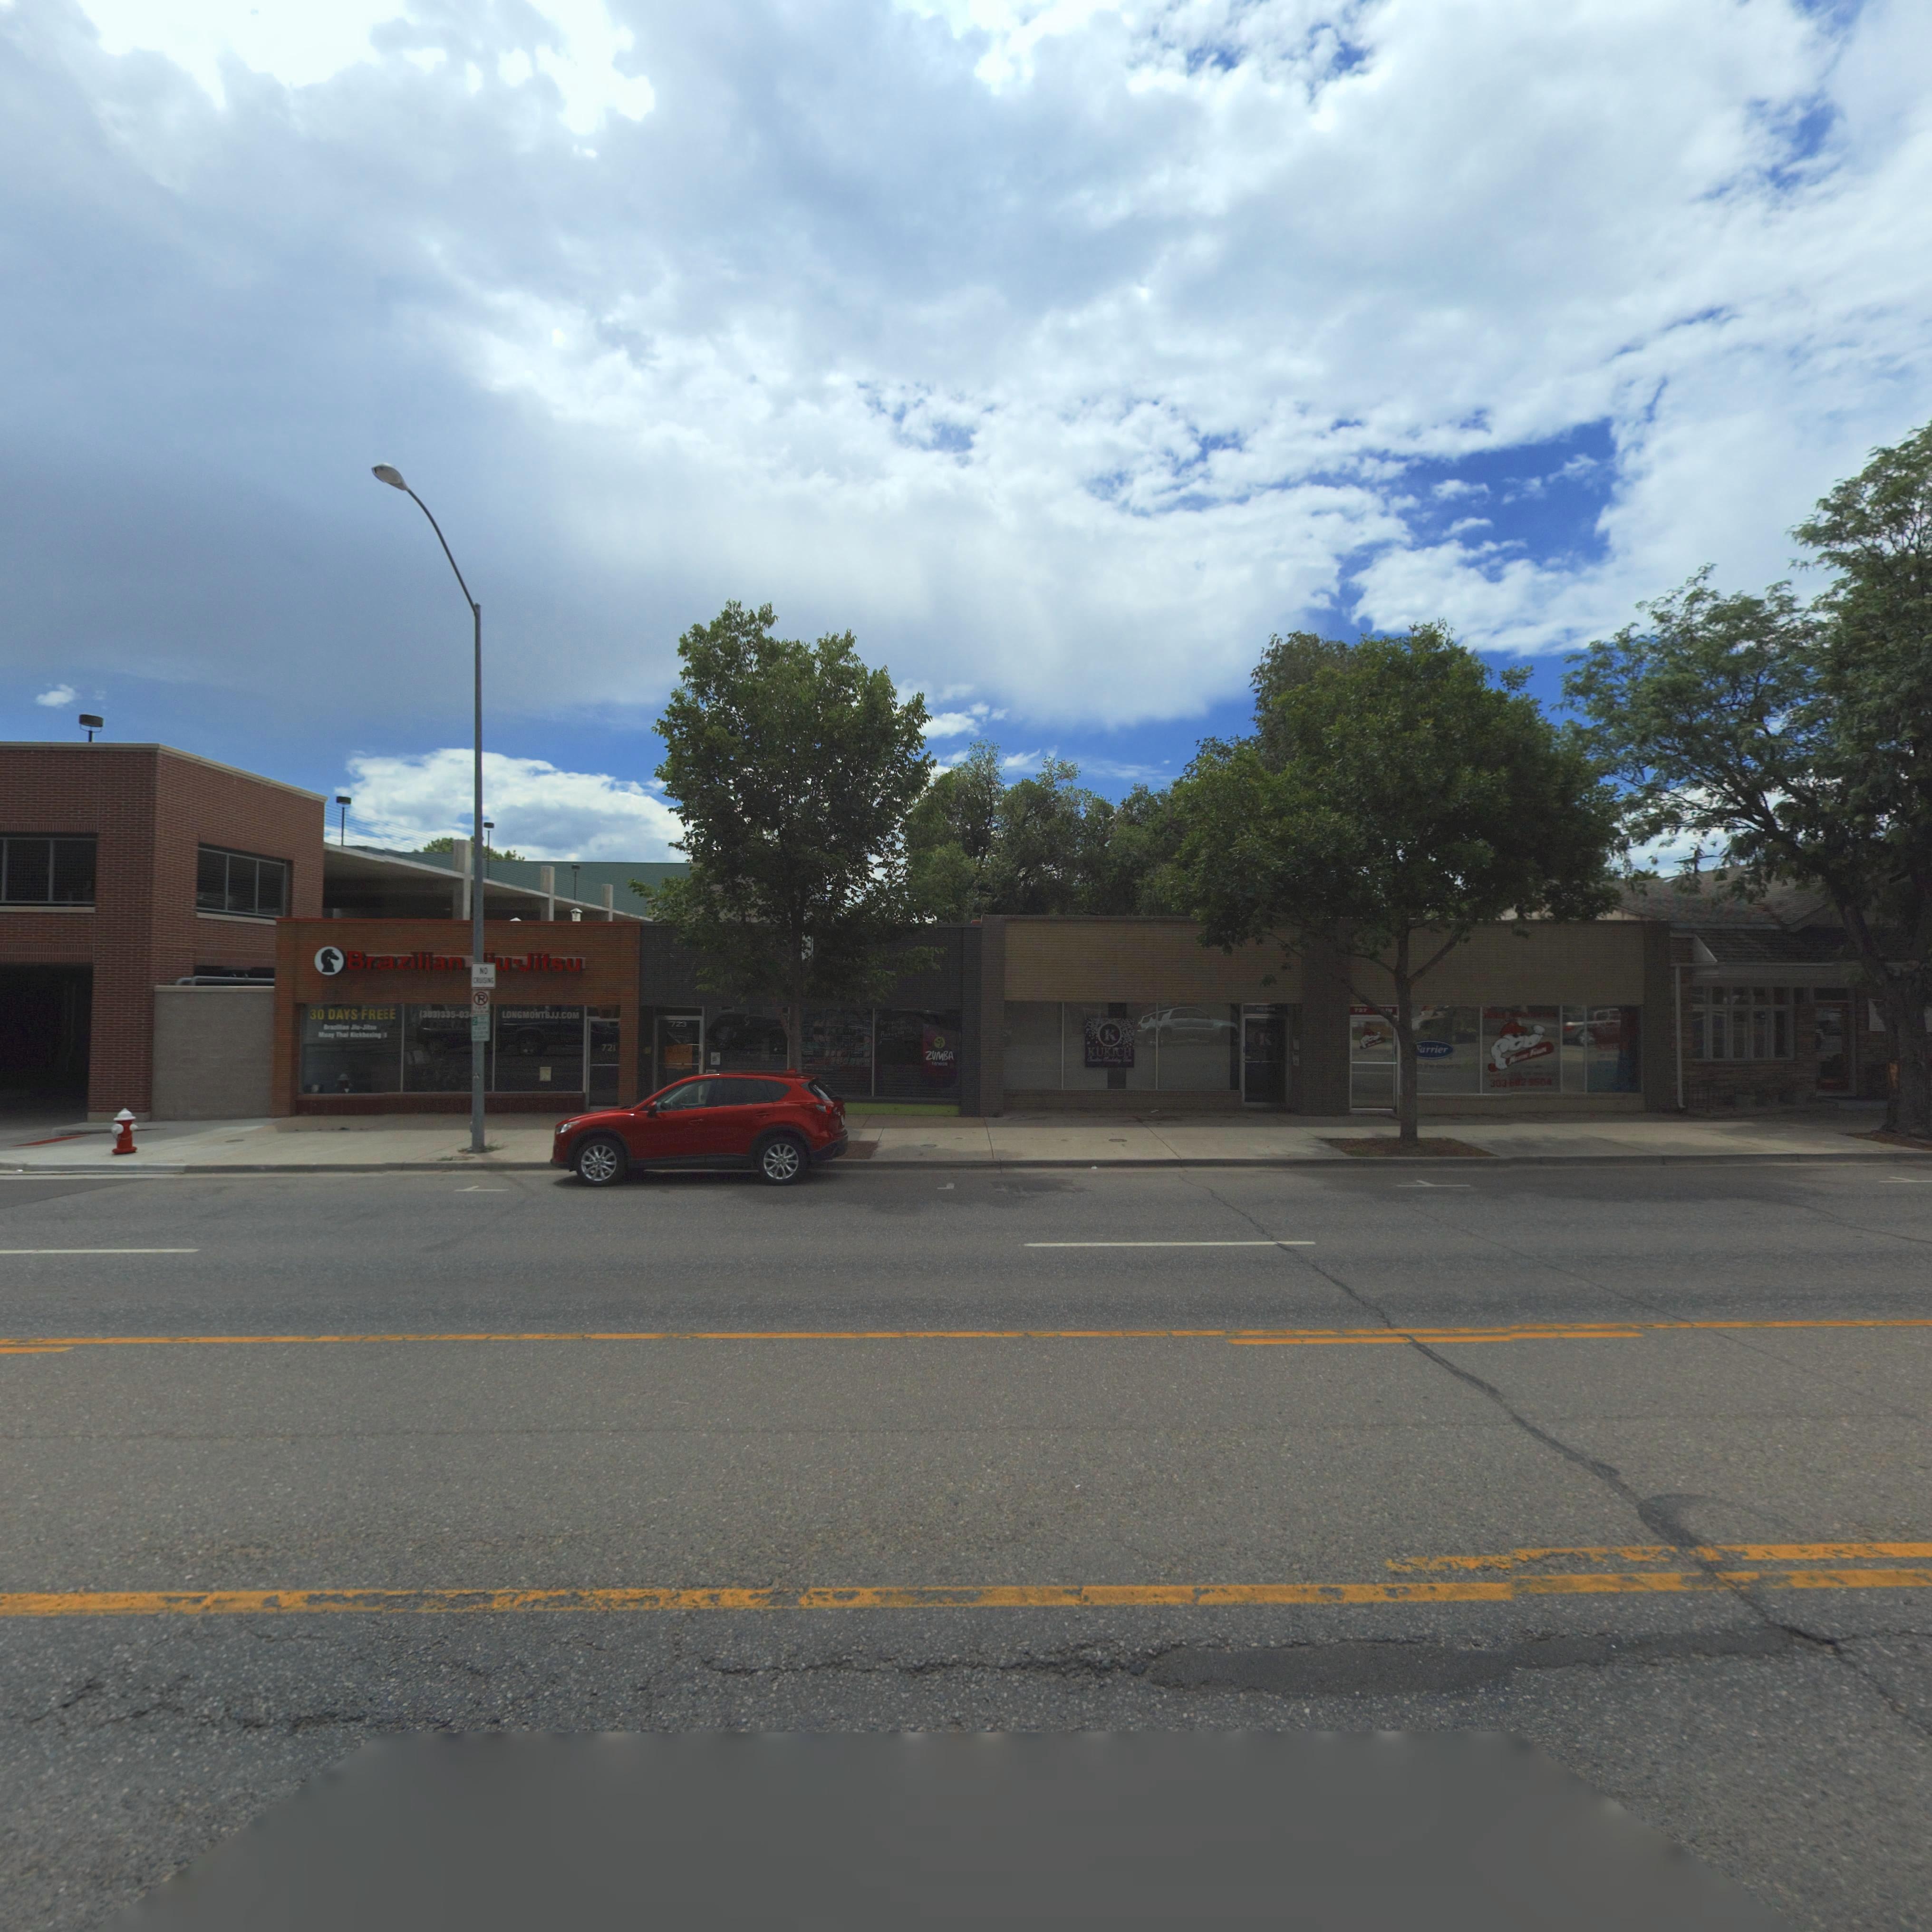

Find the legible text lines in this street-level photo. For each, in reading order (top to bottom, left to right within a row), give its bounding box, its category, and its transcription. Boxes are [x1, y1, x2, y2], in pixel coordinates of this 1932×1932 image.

[668, 1021, 686, 1027] StreetNumber: 723
[602, 1043, 616, 1052] StreetNumber: 721
[1087, 1047, 1131, 1056] BusinessName: KUKICH